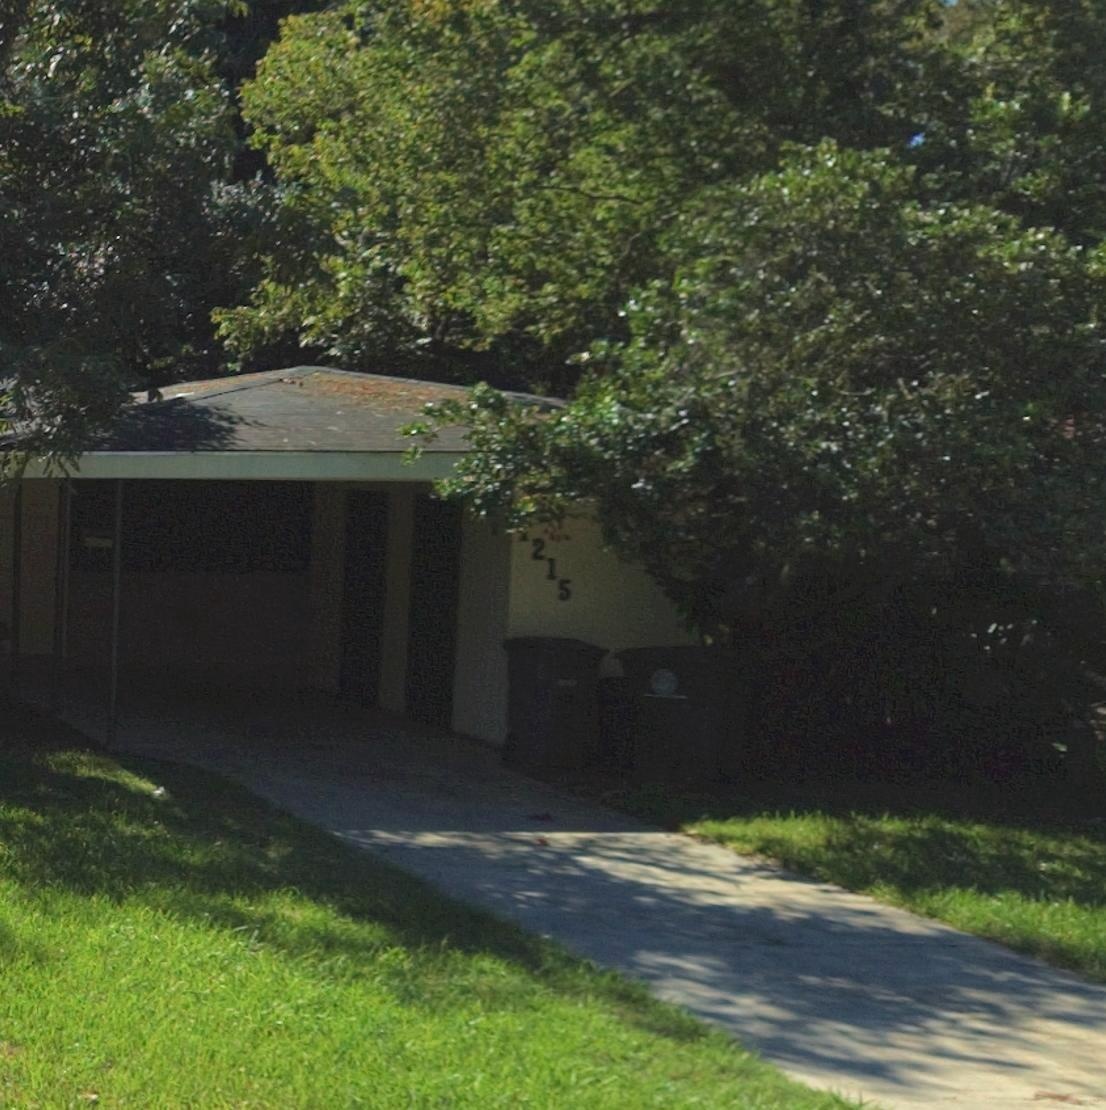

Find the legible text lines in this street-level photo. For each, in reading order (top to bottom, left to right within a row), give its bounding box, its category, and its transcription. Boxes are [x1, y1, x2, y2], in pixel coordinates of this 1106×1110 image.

[518, 531, 572, 602] StreetNumber: 1215